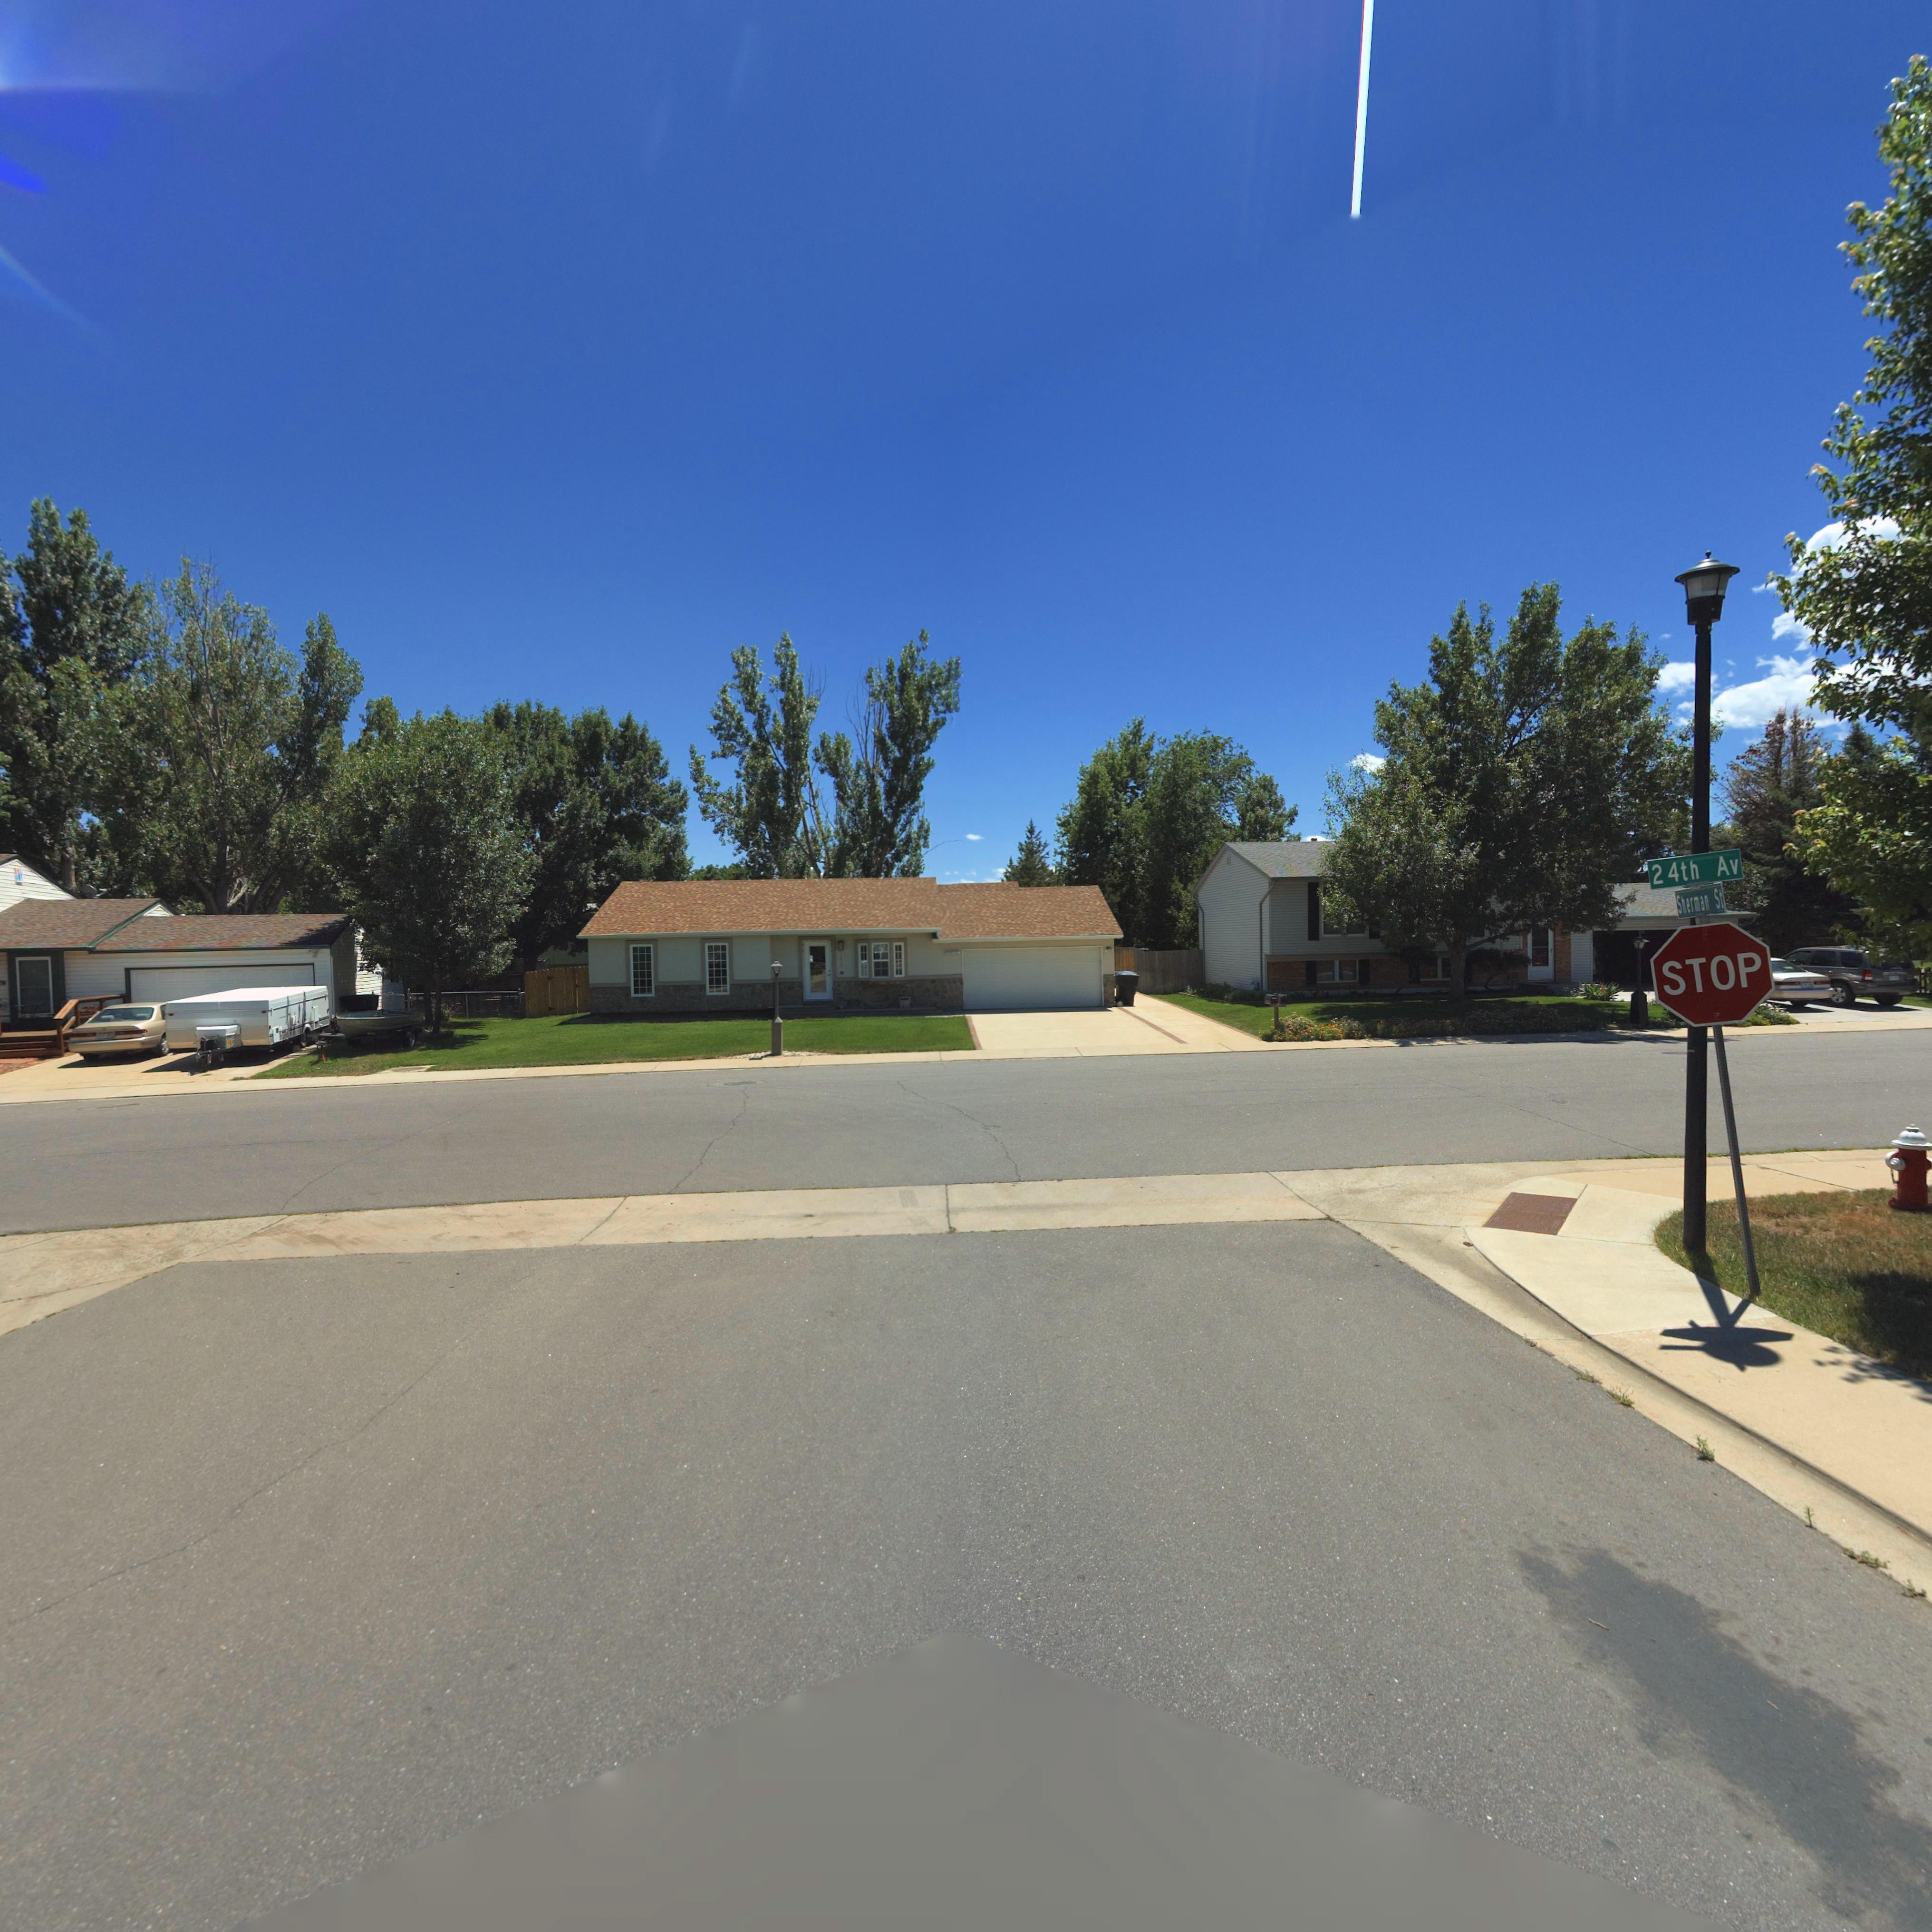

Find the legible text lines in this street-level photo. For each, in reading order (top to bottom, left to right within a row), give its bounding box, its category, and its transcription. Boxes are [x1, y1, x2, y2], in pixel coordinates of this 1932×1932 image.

[1650, 854, 1739, 886] StreetName: 24th Av
[1674, 887, 1724, 914] StreetName: Sherman St